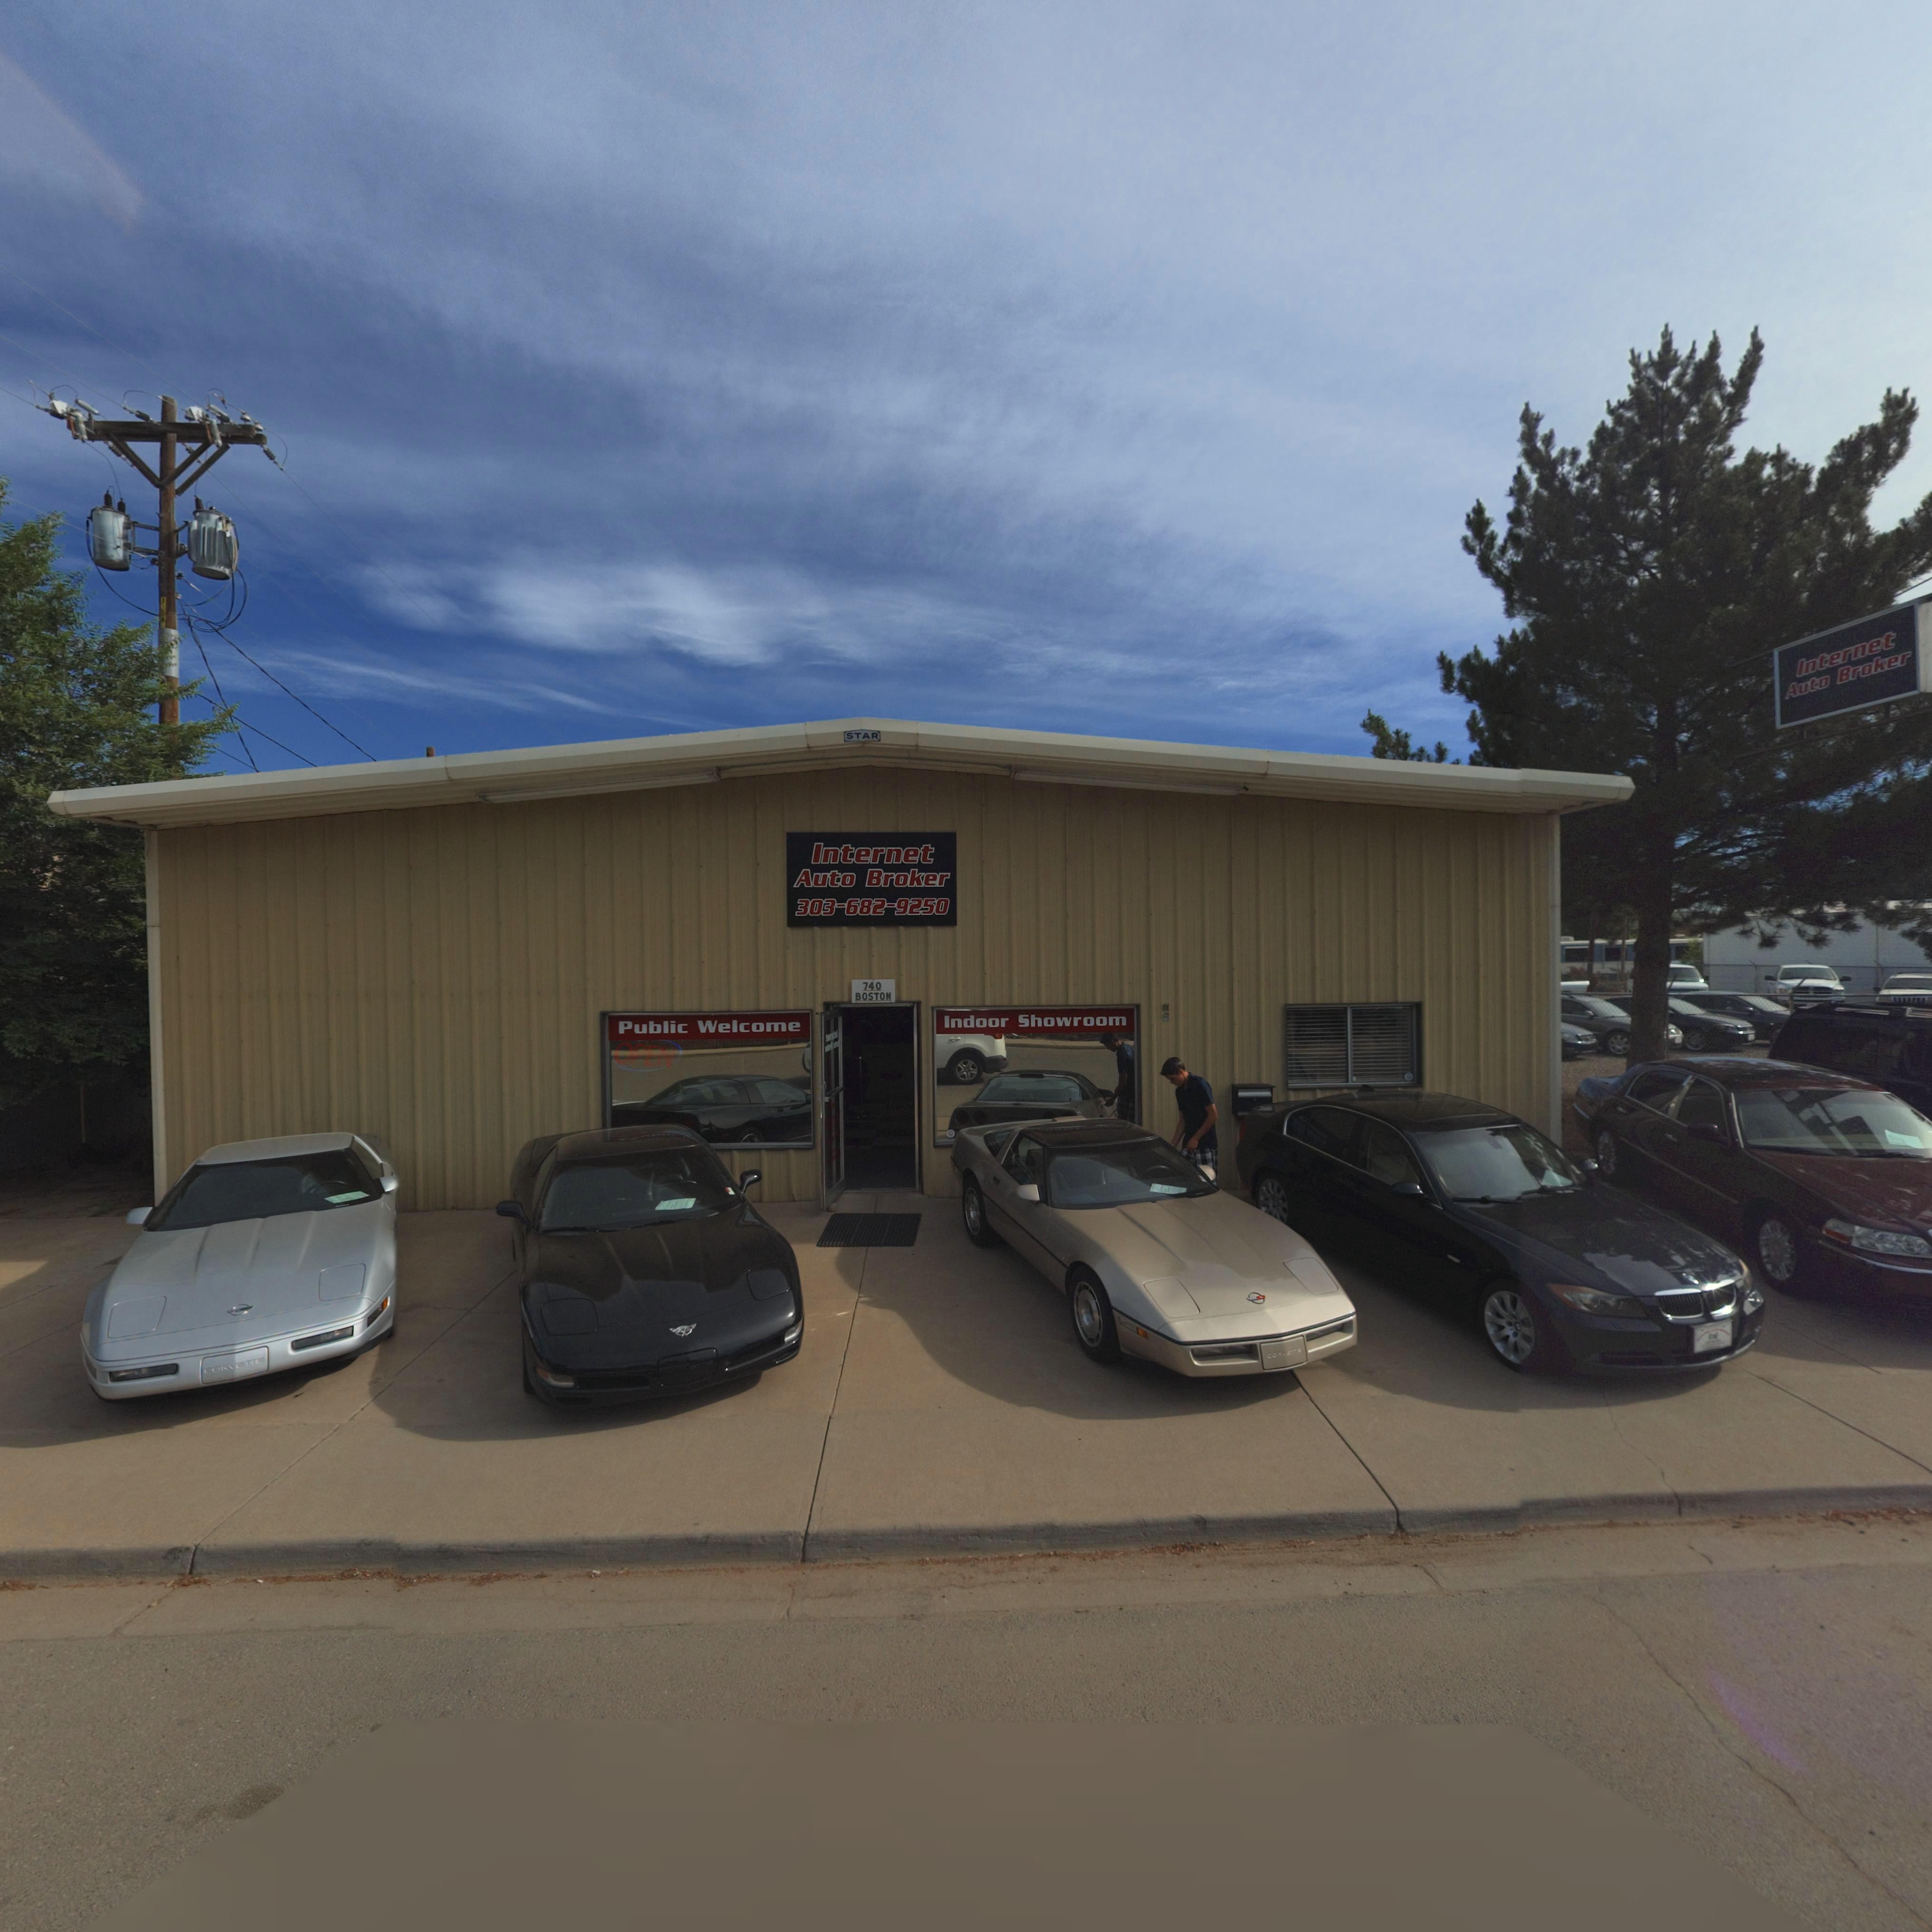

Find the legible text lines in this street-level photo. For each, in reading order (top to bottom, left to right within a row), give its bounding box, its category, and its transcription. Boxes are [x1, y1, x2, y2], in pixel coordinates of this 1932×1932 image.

[1795, 630, 1898, 679] BusinessName: Internet
[1783, 649, 1913, 701] BusinessName: Auto Broker
[809, 840, 936, 864] BusinessName: Internet
[791, 867, 952, 888] BusinessName: Auto Broker
[863, 982, 881, 991] StreetNumber: 740
[854, 992, 891, 1001] StreetName: BOSTON